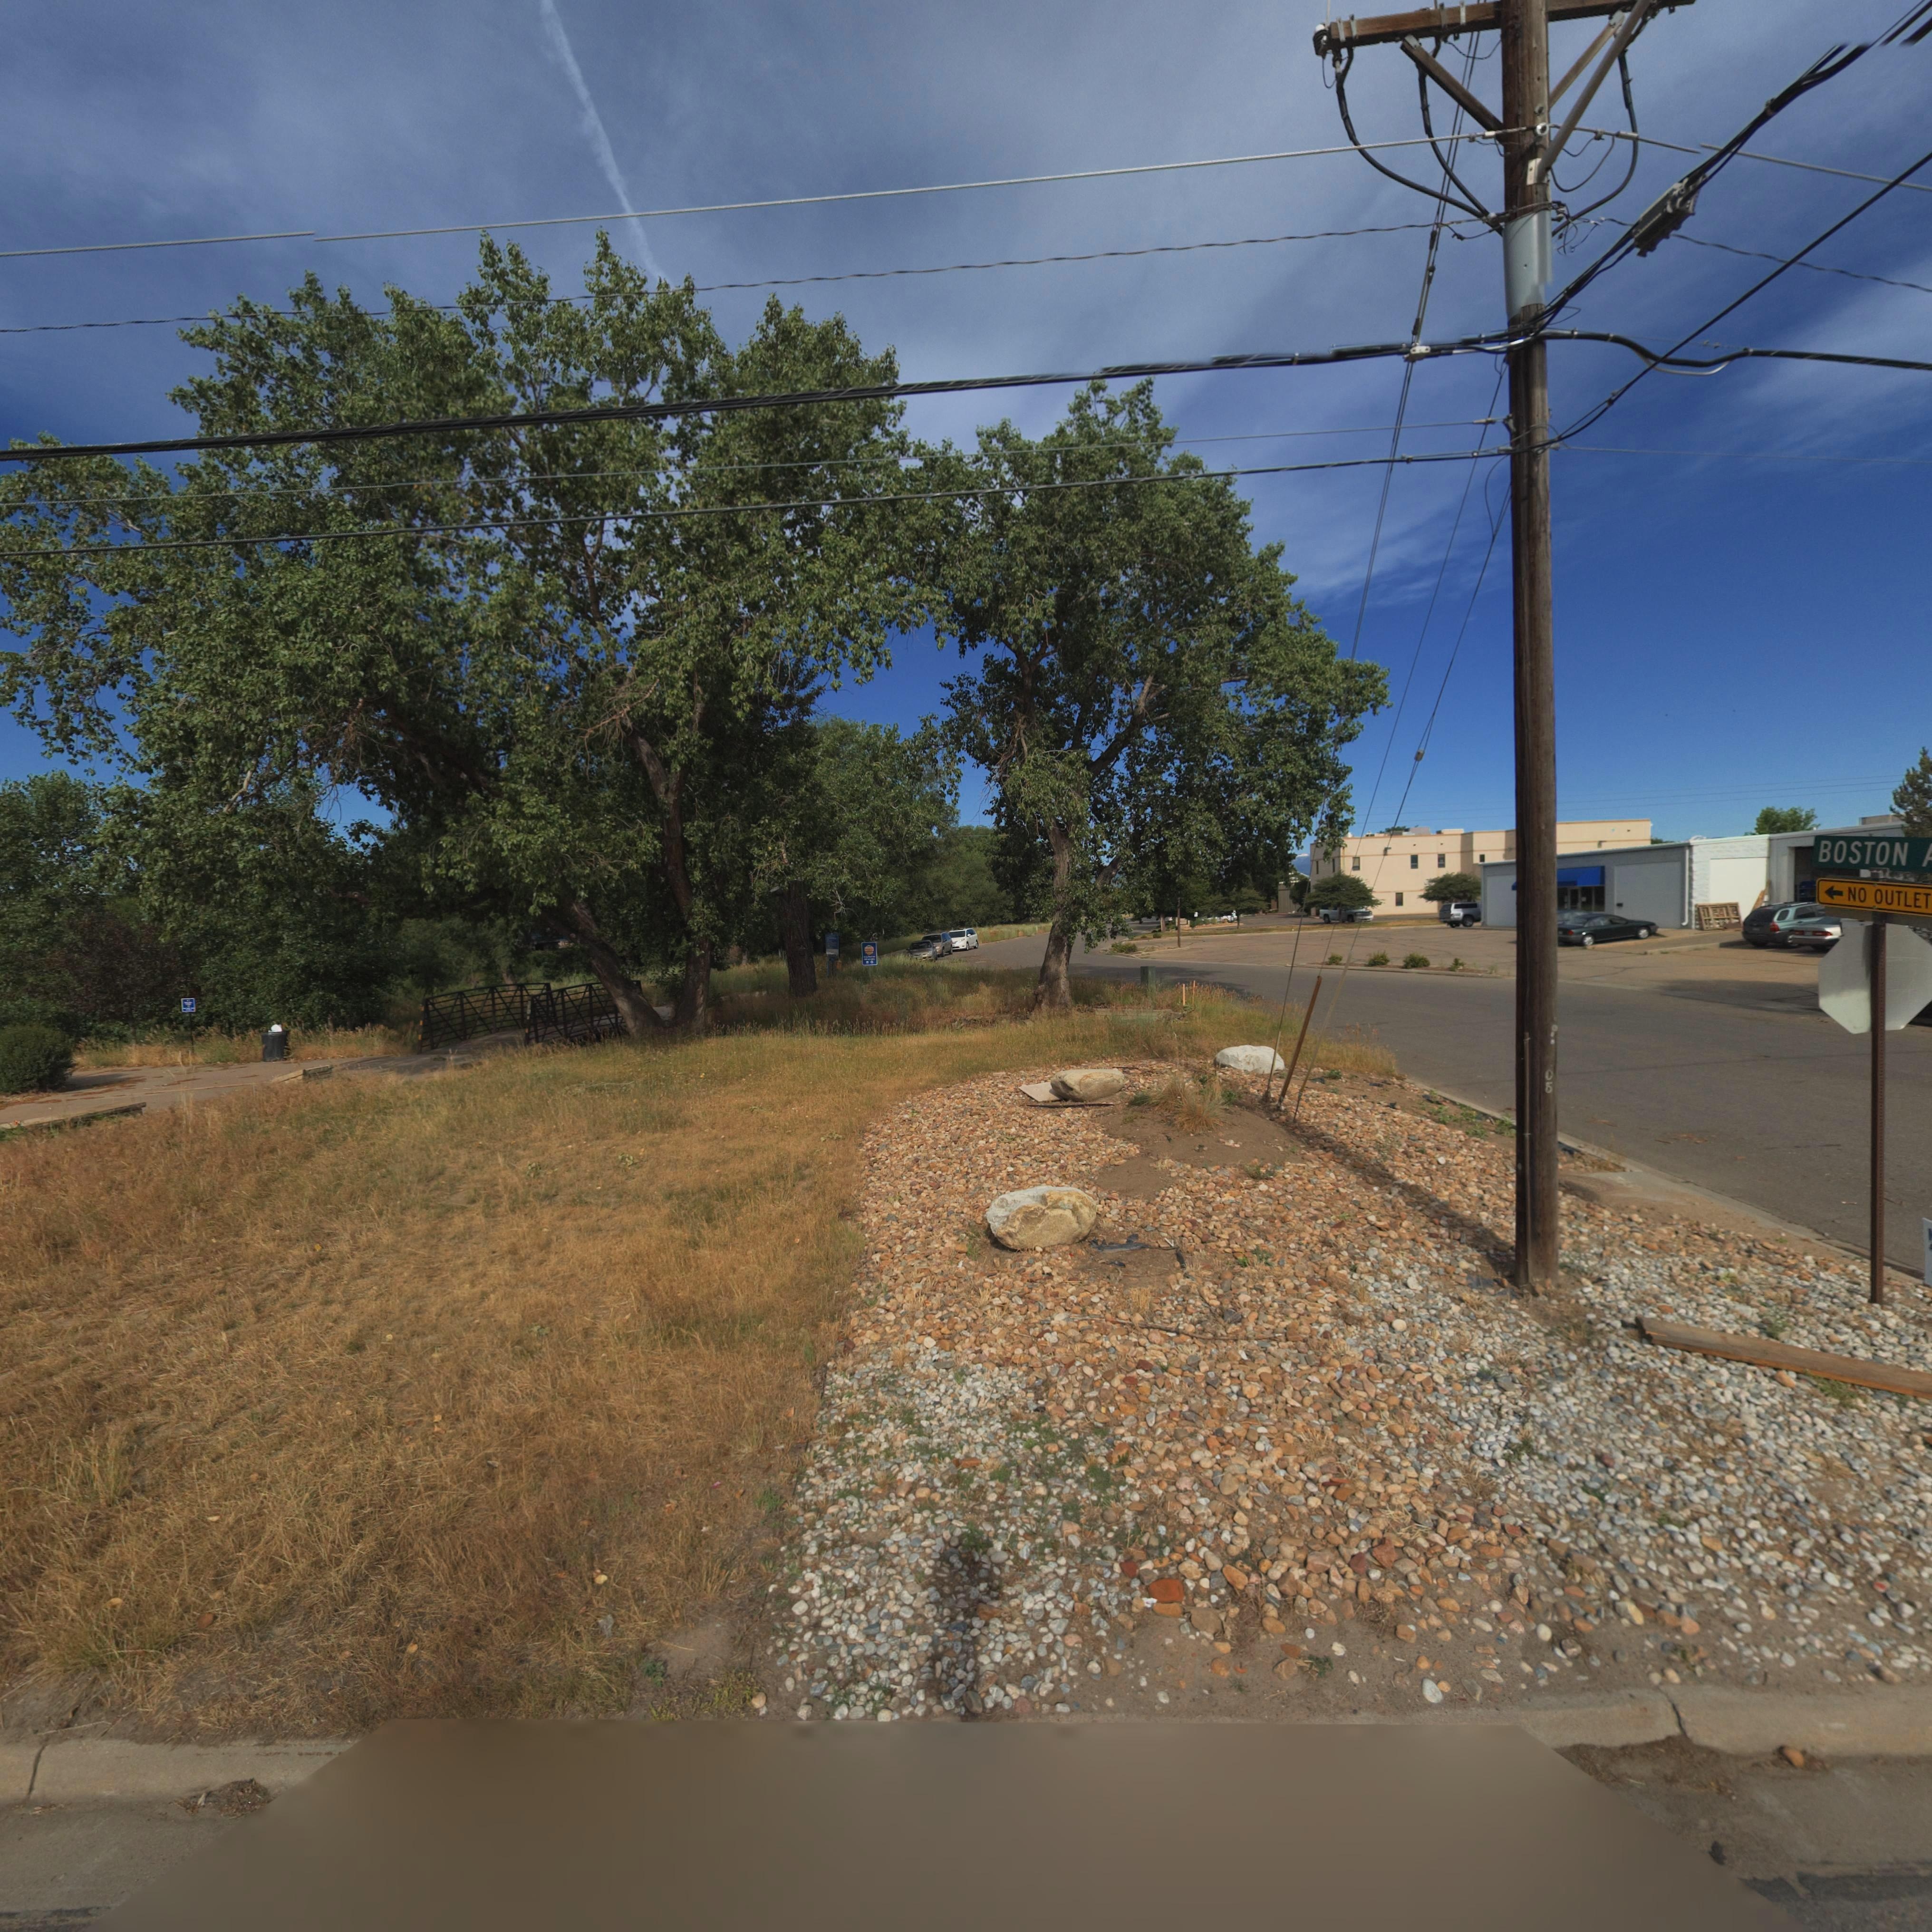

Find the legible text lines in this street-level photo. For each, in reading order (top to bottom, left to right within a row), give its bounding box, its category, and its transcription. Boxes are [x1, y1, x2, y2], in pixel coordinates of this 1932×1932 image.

[1817, 840, 1909, 867] StreetName: BOSTON